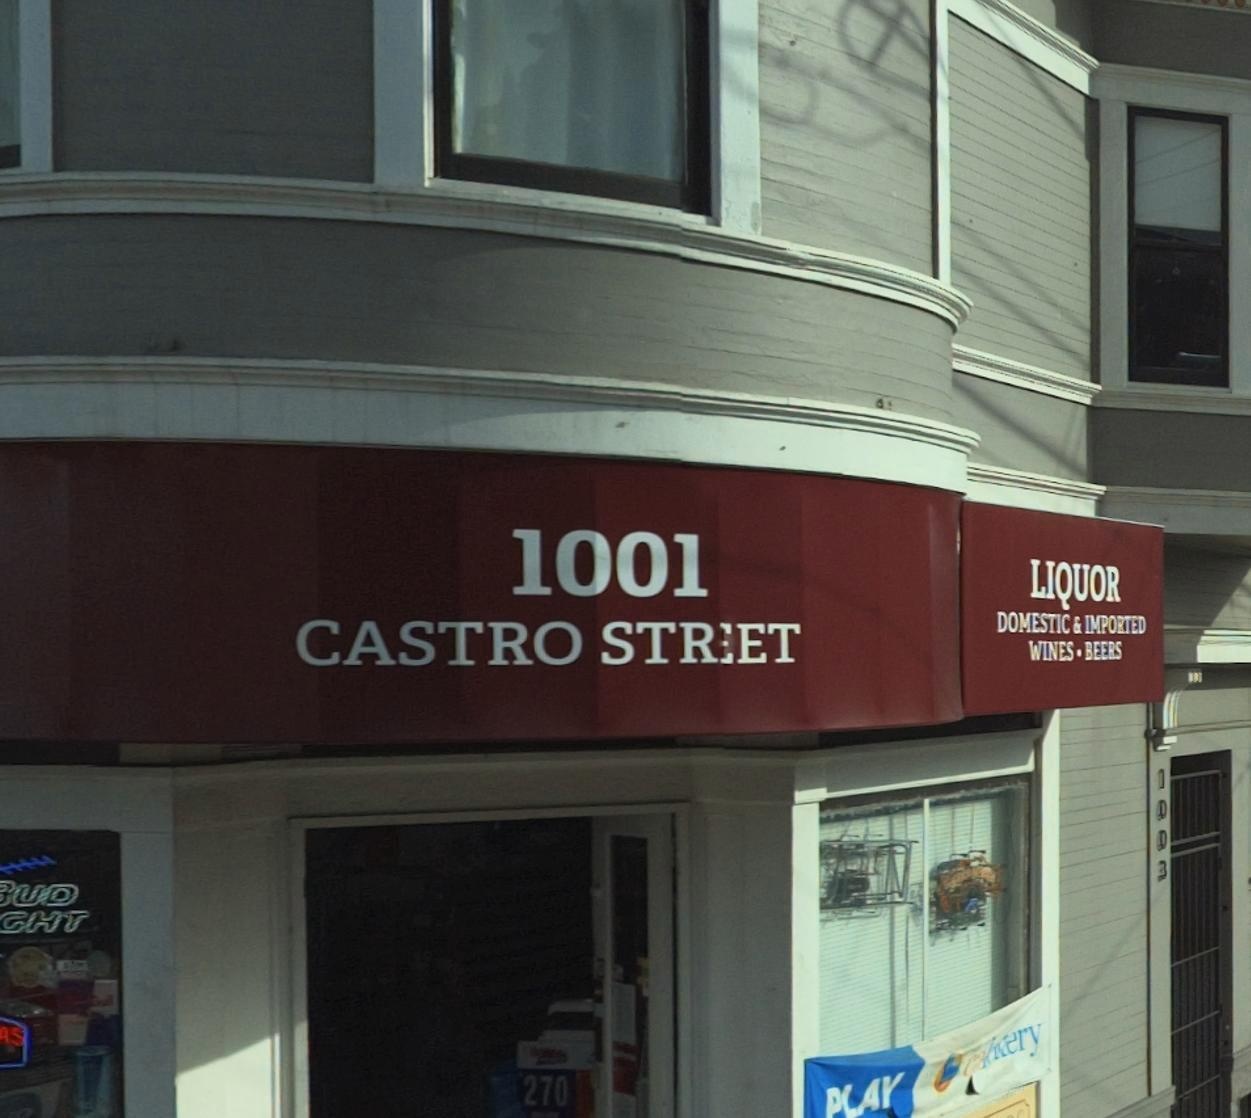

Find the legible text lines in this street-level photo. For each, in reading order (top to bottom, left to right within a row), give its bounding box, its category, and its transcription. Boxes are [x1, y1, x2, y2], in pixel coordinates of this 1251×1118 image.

[510, 528, 710, 599] StreetNumber: 1001
[1028, 558, 1121, 611] None: LIQUOR
[996, 610, 1147, 635] None: DOMESTIC & IMPORTED
[292, 618, 804, 665] StreetName: CASTRO STR*ET
[1027, 639, 1075, 662] None: WINES
[1083, 639, 1123, 662] None: BEERS
[0, 878, 84, 908] None: *UD
[0, 907, 97, 936] None: GHT
[9, 1021, 31, 1048] None: S
[520, 1074, 571, 1107] None: 270